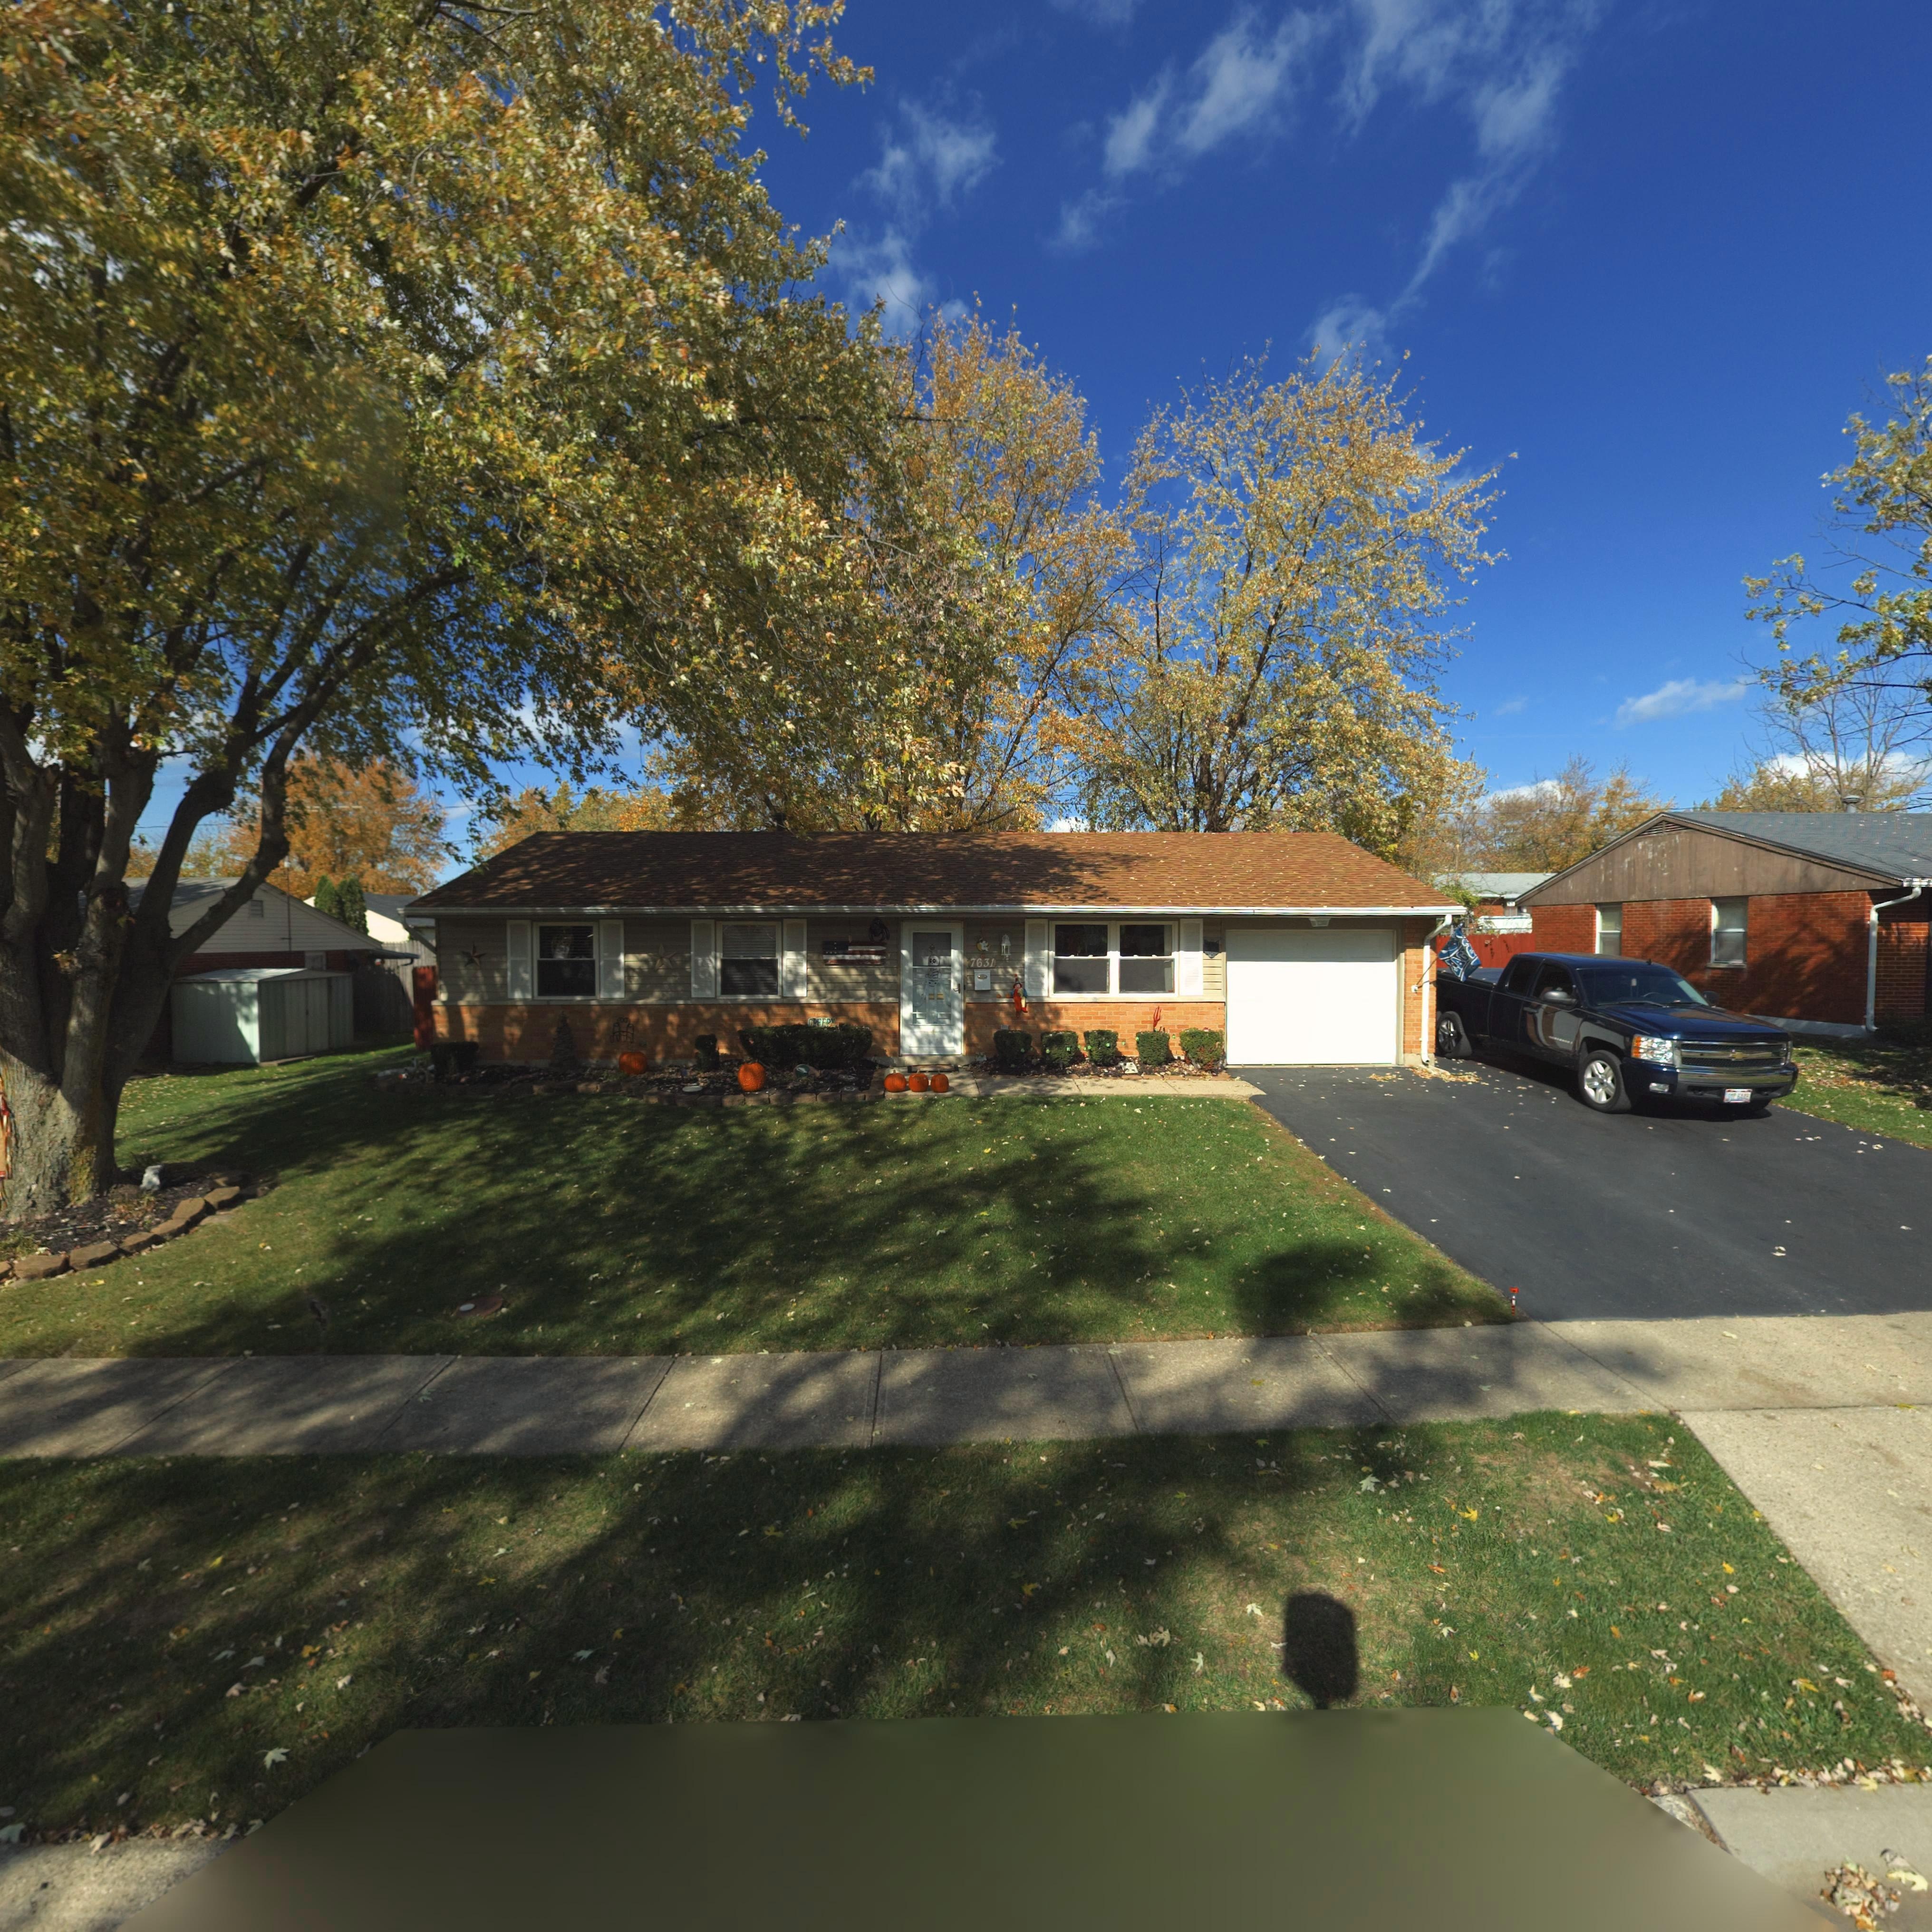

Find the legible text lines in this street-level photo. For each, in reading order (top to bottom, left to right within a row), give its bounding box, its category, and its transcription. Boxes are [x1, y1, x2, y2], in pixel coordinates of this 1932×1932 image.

[970, 957, 995, 968] StreetNumber: 7631